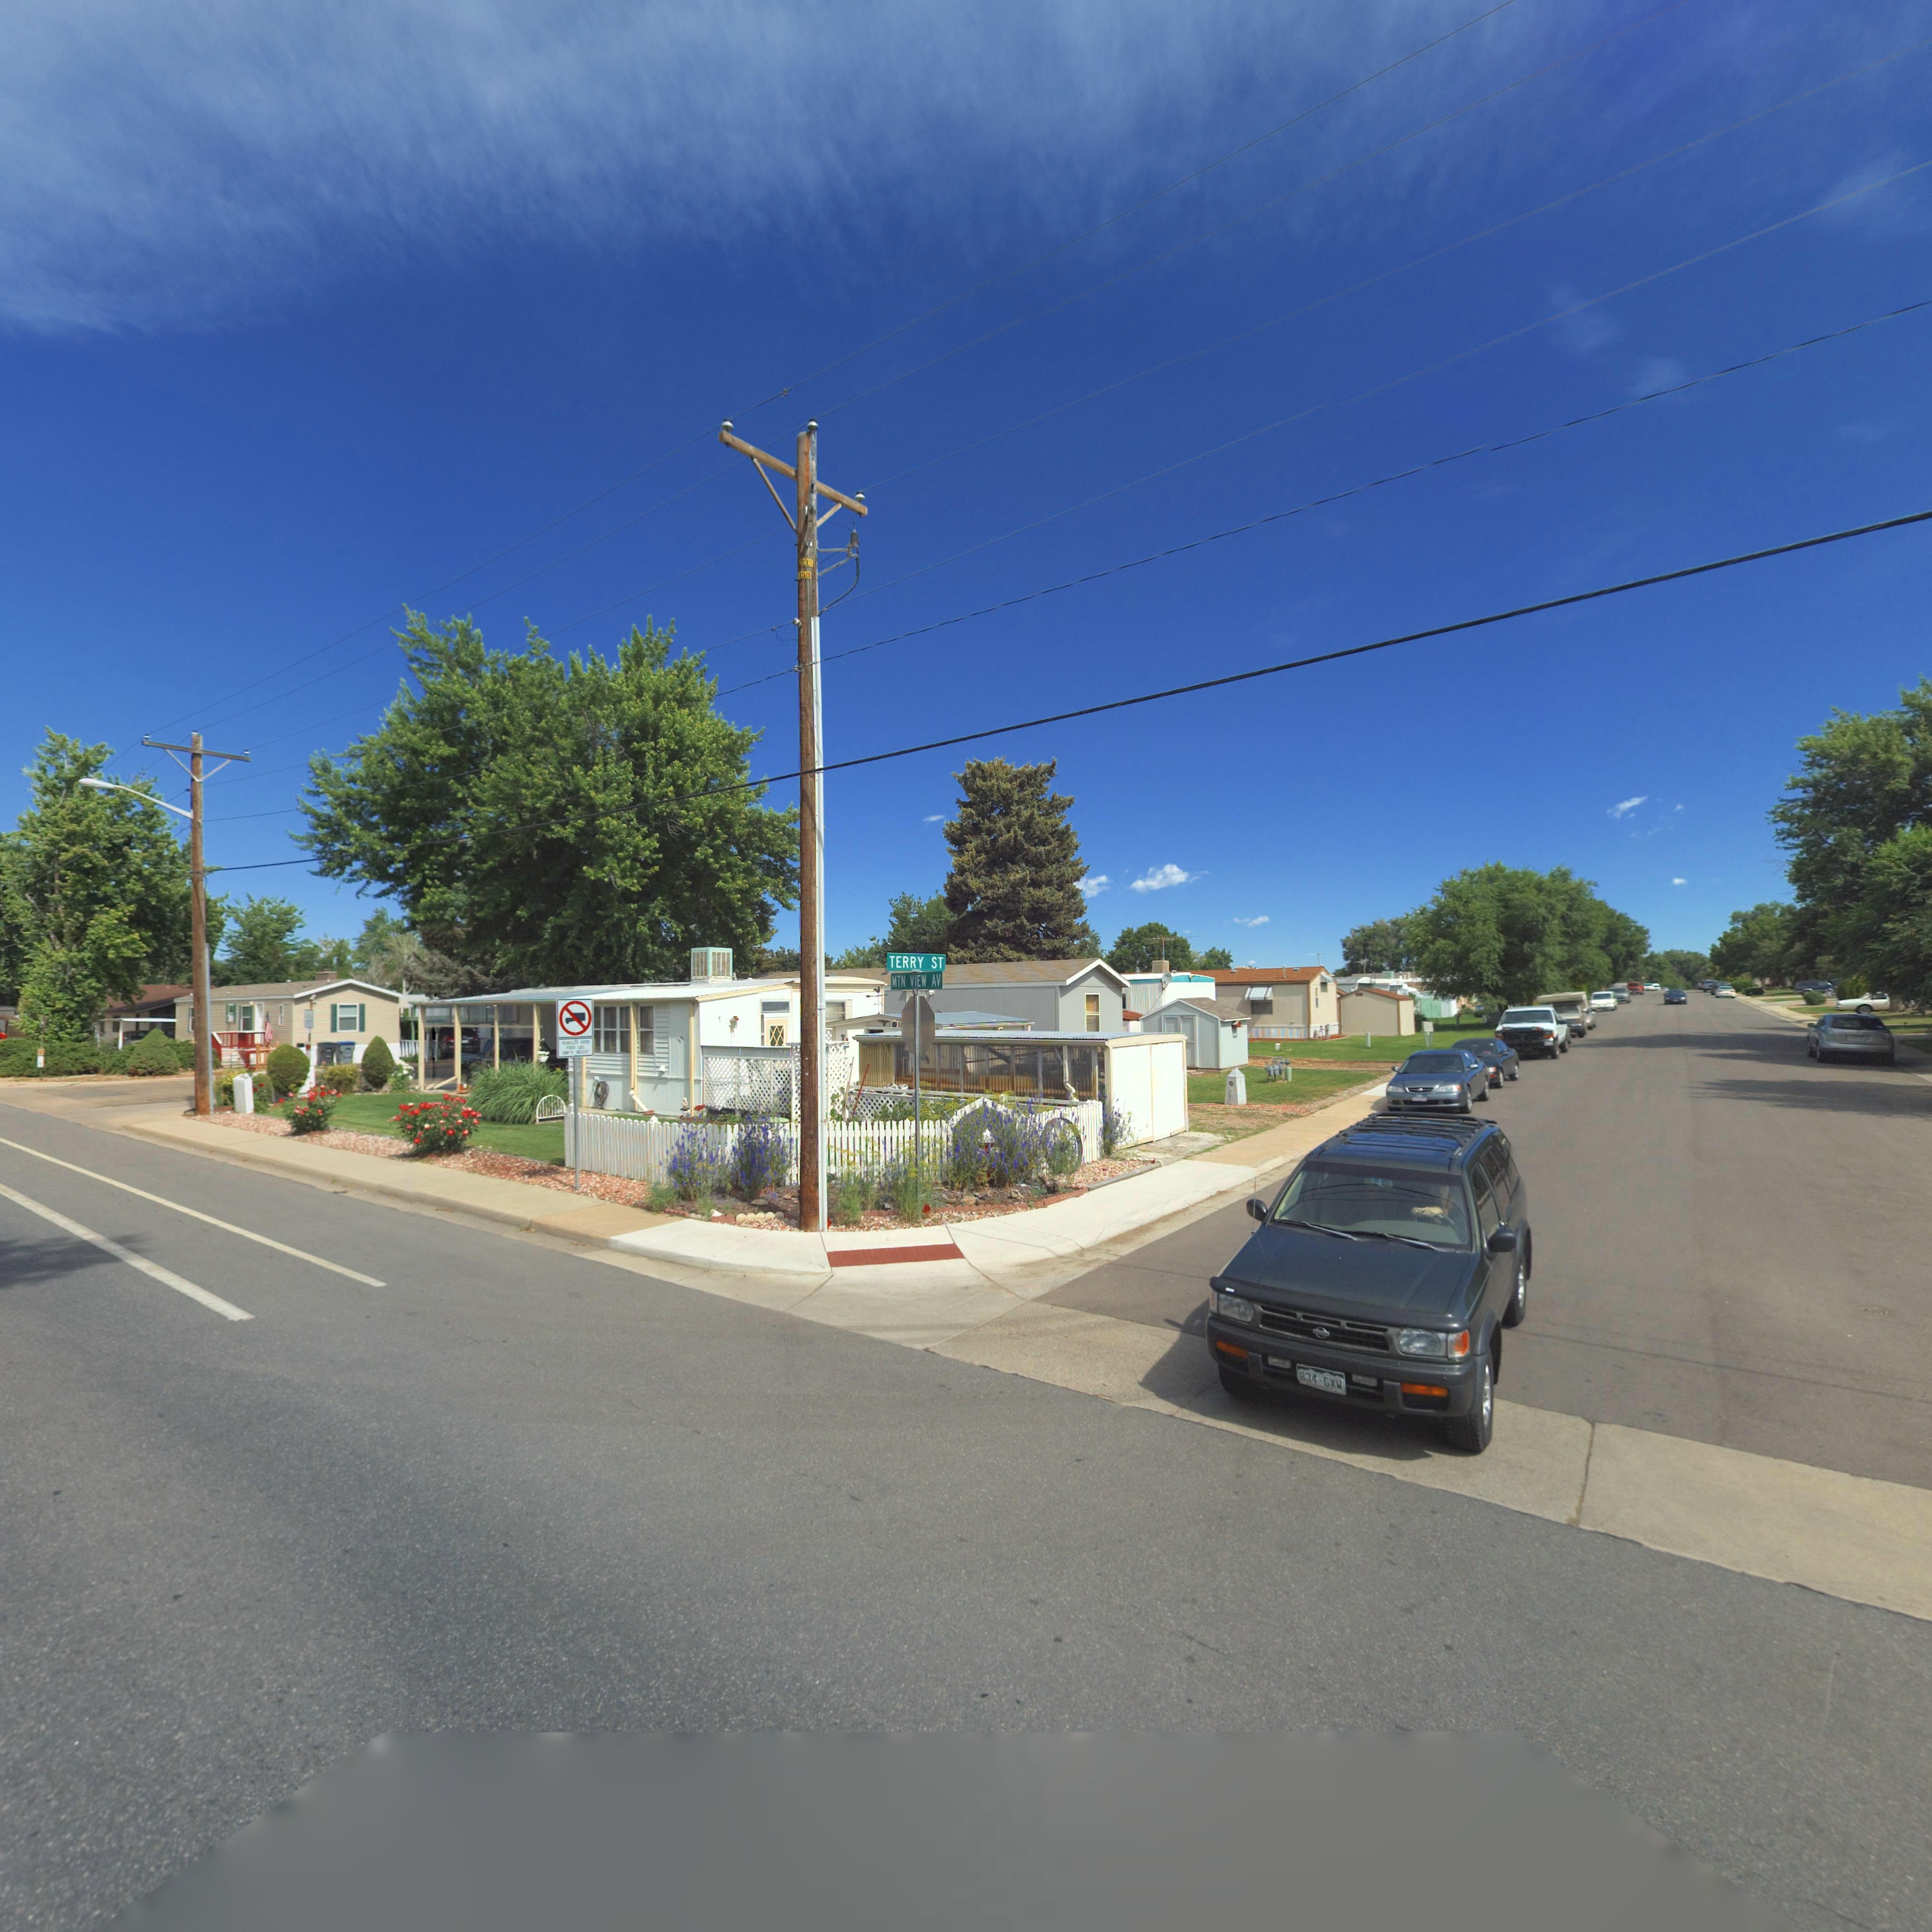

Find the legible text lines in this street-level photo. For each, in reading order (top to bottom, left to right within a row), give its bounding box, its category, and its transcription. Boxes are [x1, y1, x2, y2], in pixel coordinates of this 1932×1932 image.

[889, 955, 943, 969] StreetName: TERRY ST
[891, 974, 941, 987] StreetName: MTN VIEW AV